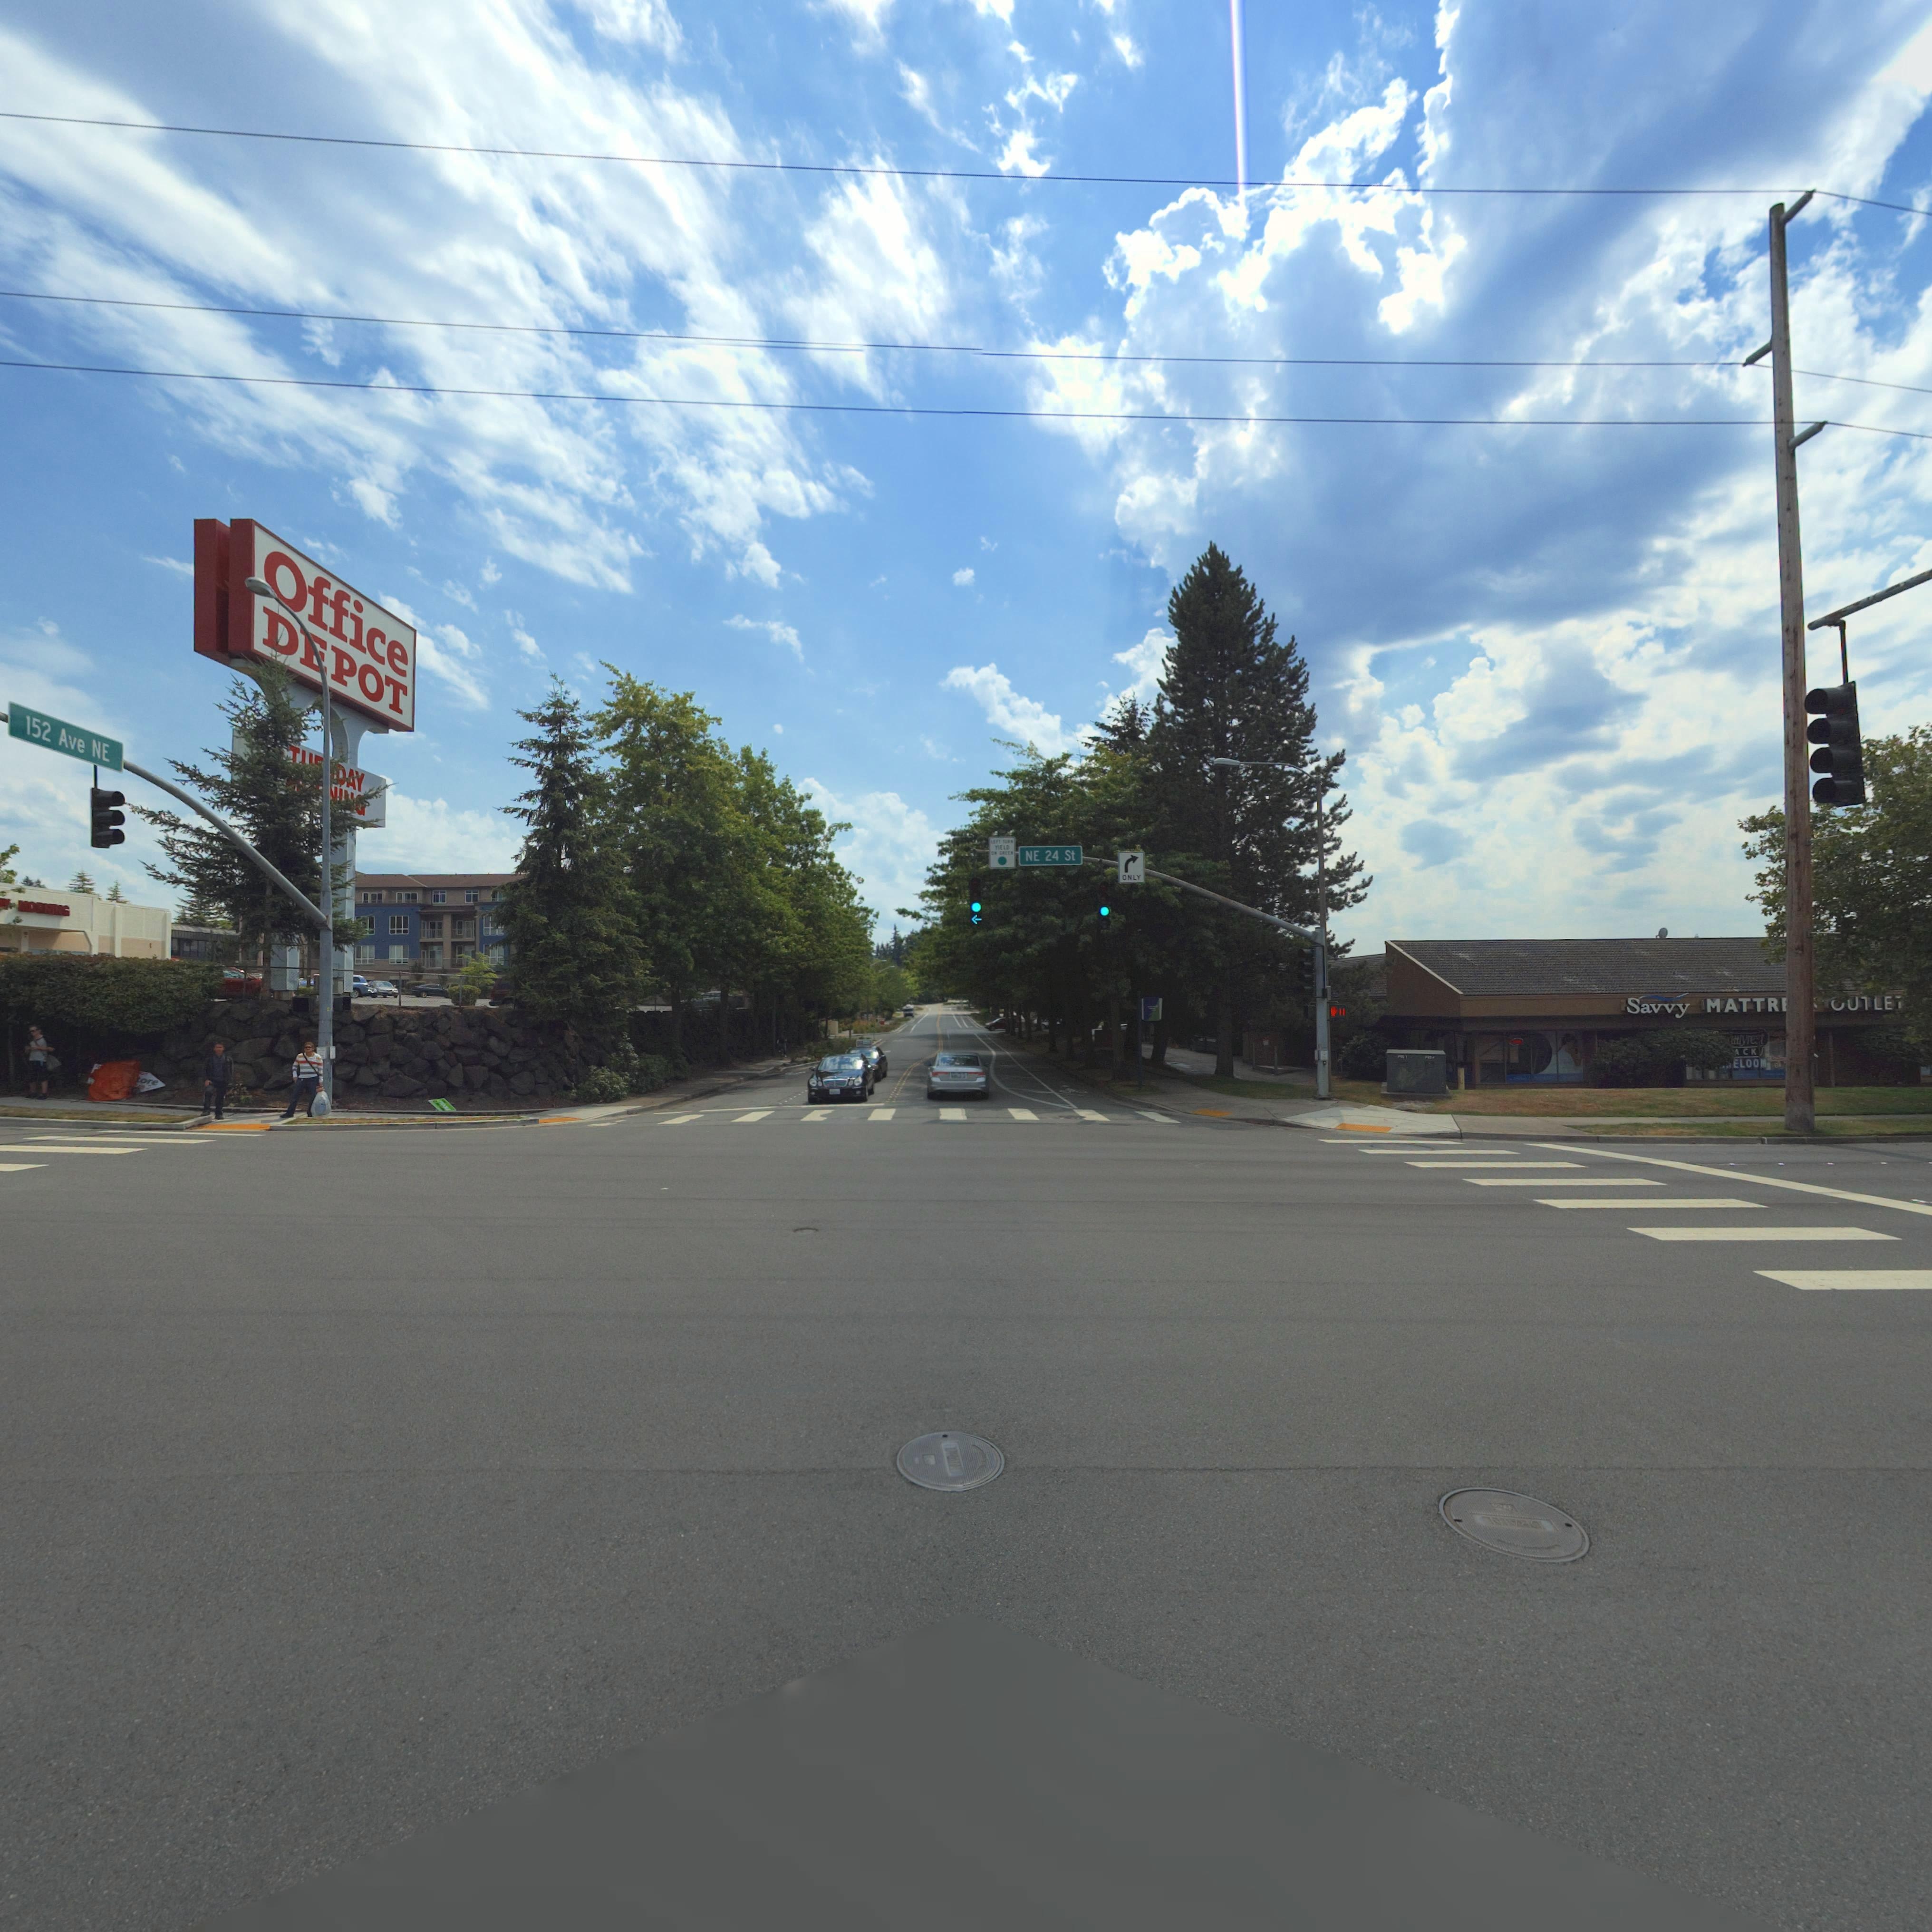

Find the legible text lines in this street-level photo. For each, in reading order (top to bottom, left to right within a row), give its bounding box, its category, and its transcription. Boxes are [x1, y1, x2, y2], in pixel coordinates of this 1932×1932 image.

[263, 542, 412, 682] BusinessName: Office
[261, 603, 409, 718] BusinessName: D*POT
[22, 711, 113, 764] StreetName: 152 Ave NE
[335, 760, 366, 793] BusinessName: *AY
[1024, 849, 1079, 862] StreetName: NE 24 St
[1626, 996, 1692, 1019] BusinessName: Savvy
[1706, 997, 1788, 1014] BusinessName: MATTR*
[1831, 996, 1900, 1010] BusinessName: *U*LE*